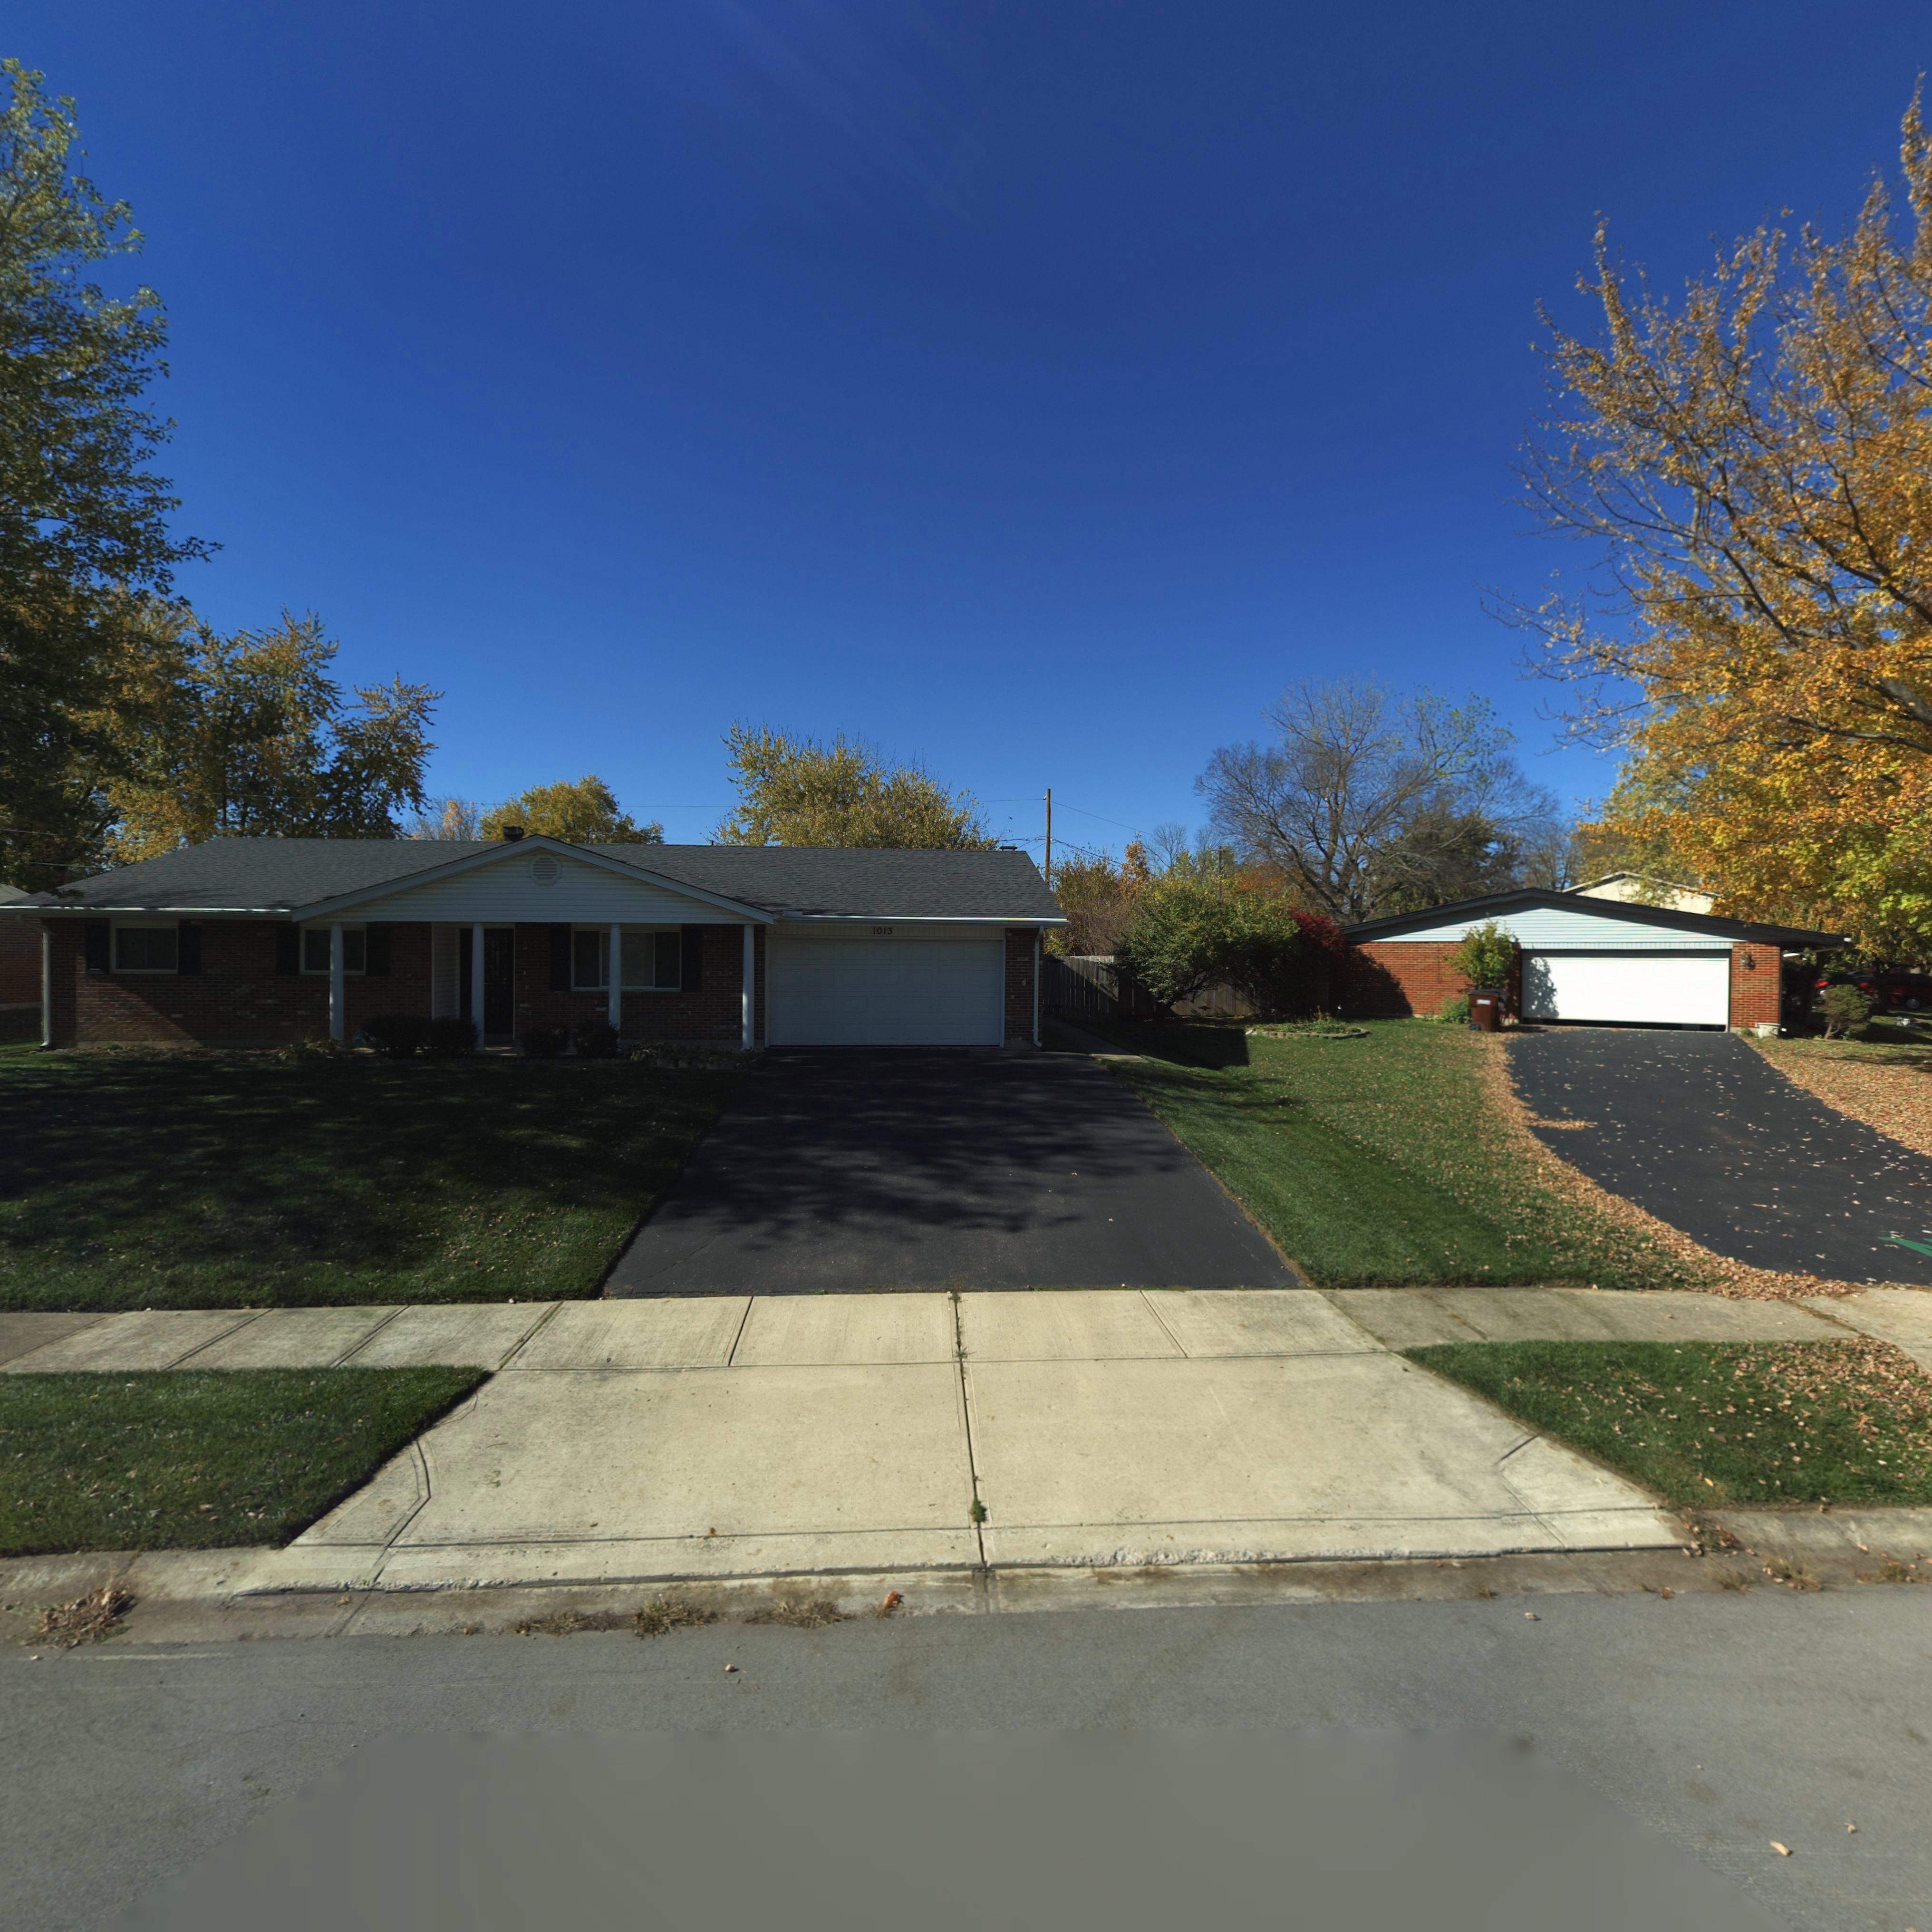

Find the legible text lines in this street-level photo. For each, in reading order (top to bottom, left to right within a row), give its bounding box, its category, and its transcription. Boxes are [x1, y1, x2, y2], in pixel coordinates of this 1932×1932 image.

[872, 927, 892, 935] StreetNumber: 1013